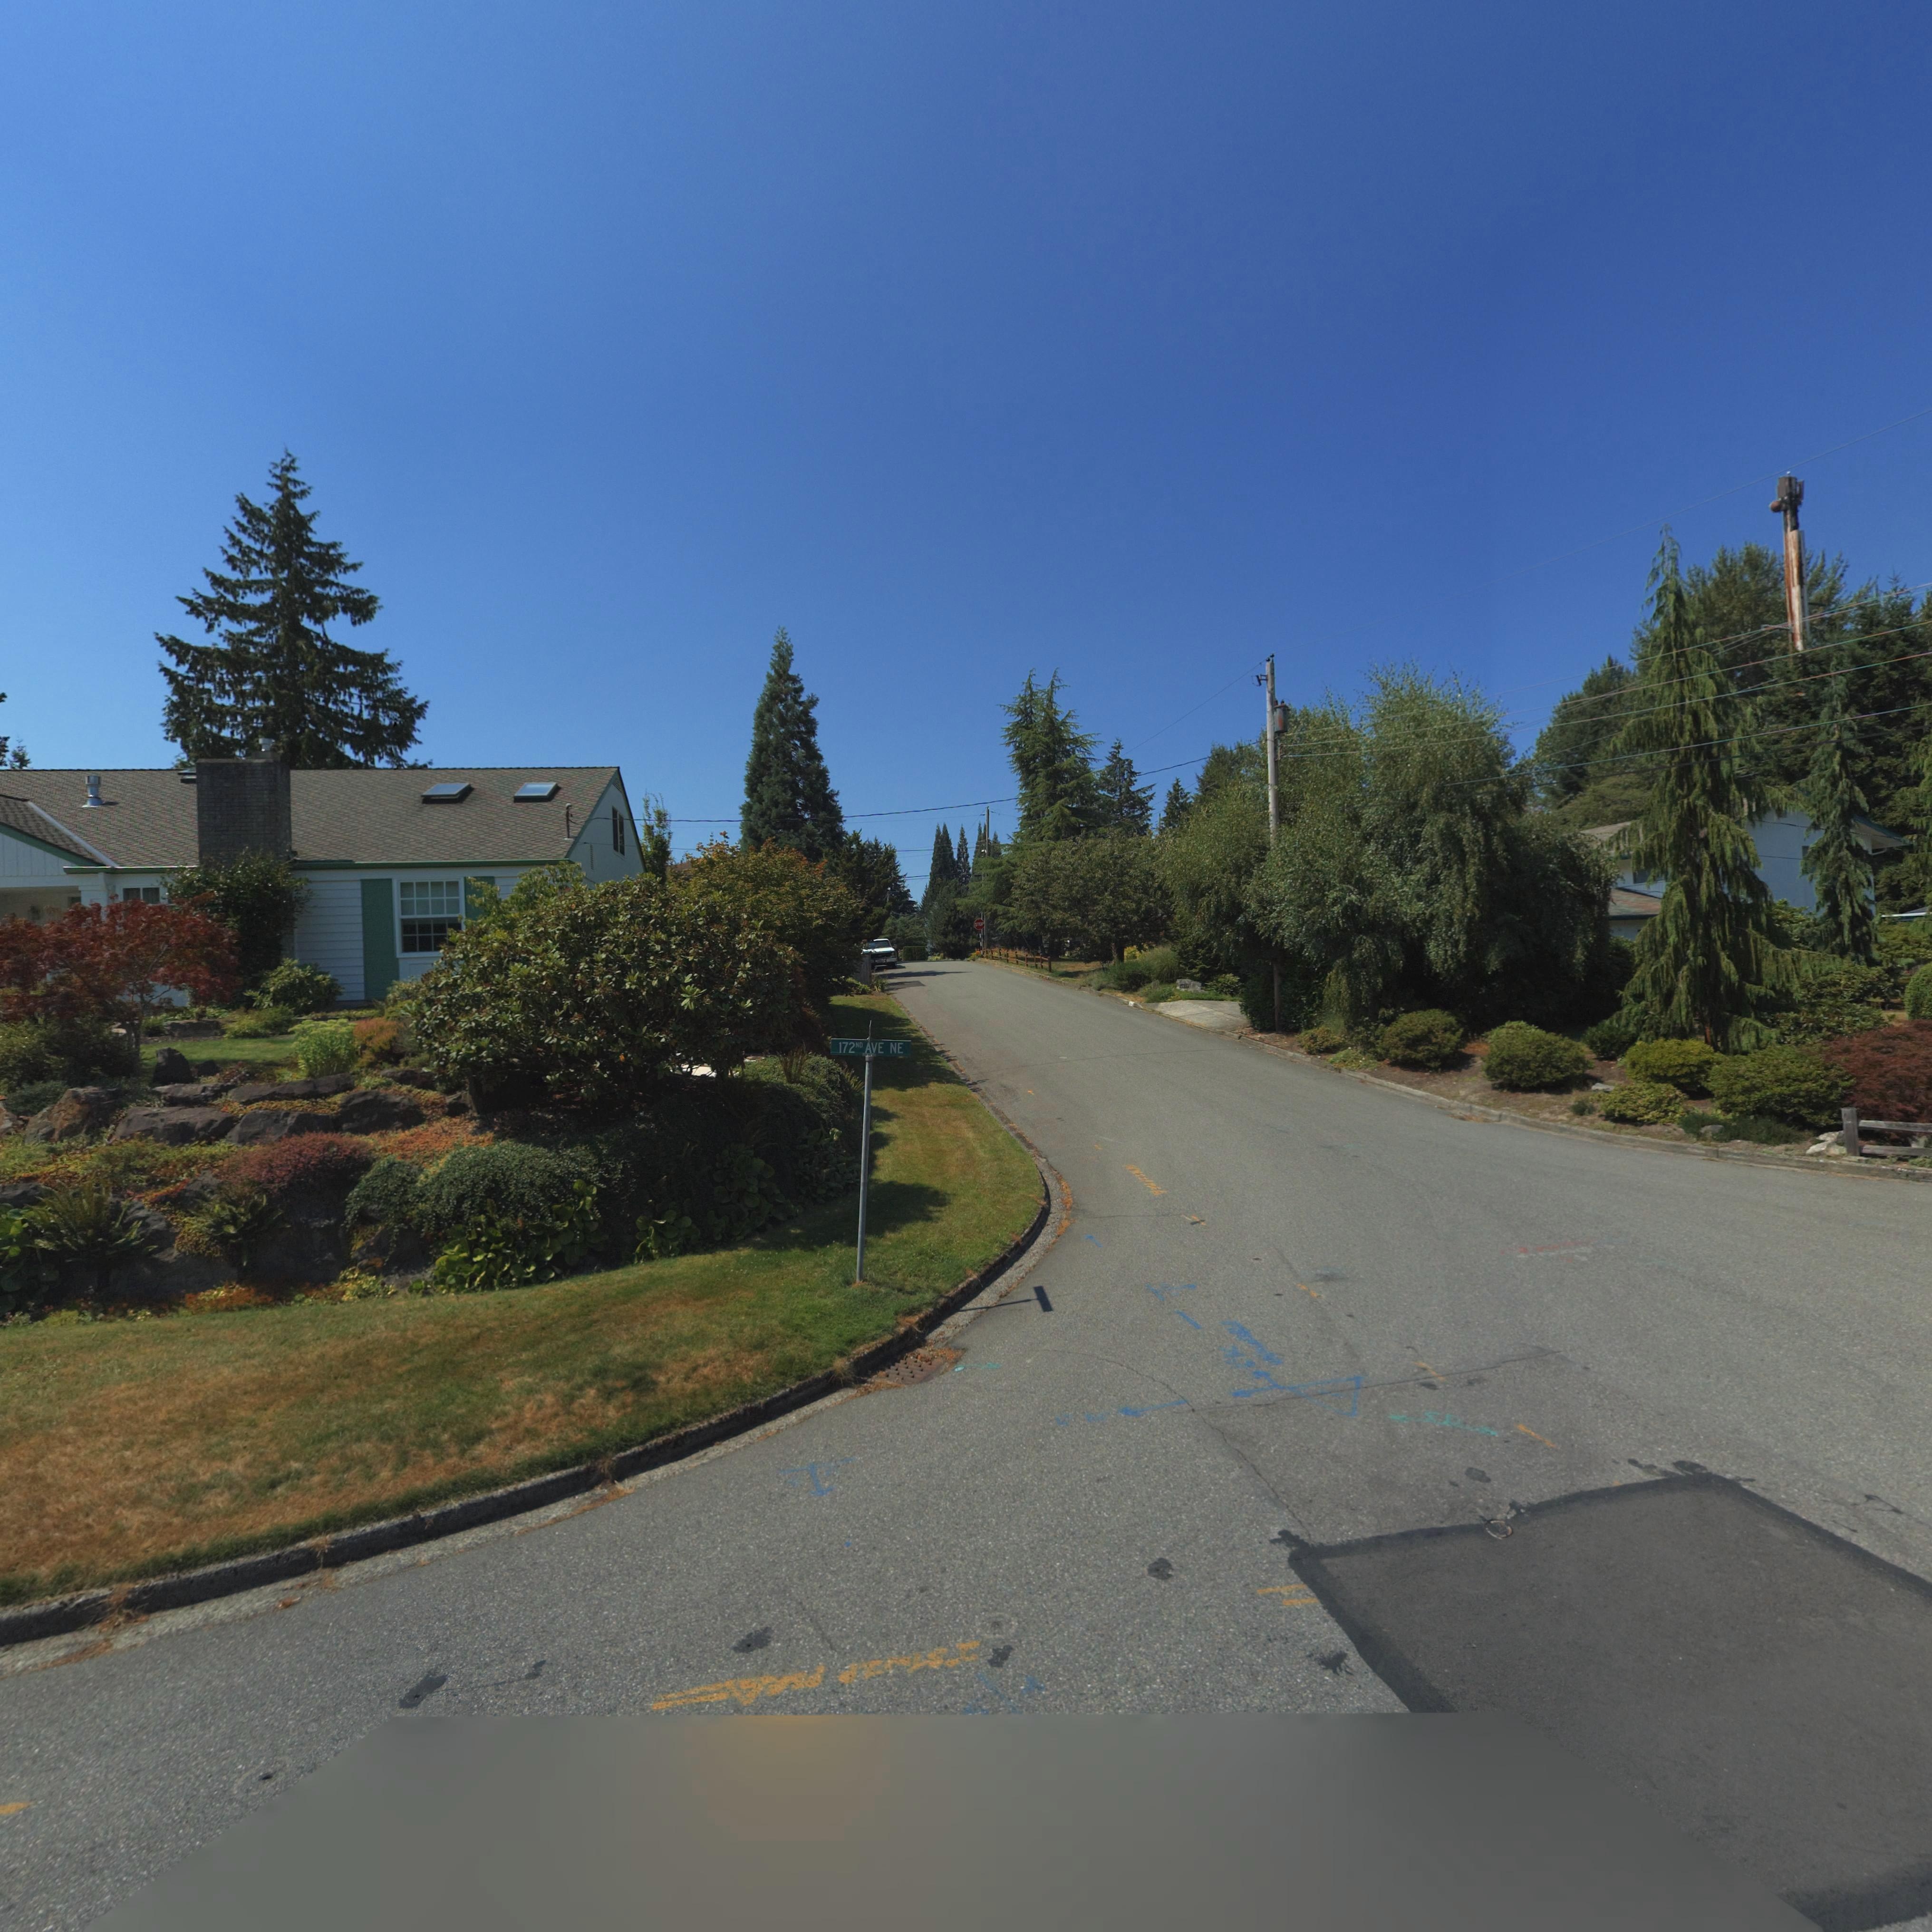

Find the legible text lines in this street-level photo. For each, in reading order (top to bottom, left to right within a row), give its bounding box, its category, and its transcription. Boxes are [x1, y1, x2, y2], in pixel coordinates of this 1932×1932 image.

[838, 1041, 904, 1053] StreetName: 172ND AVE NE